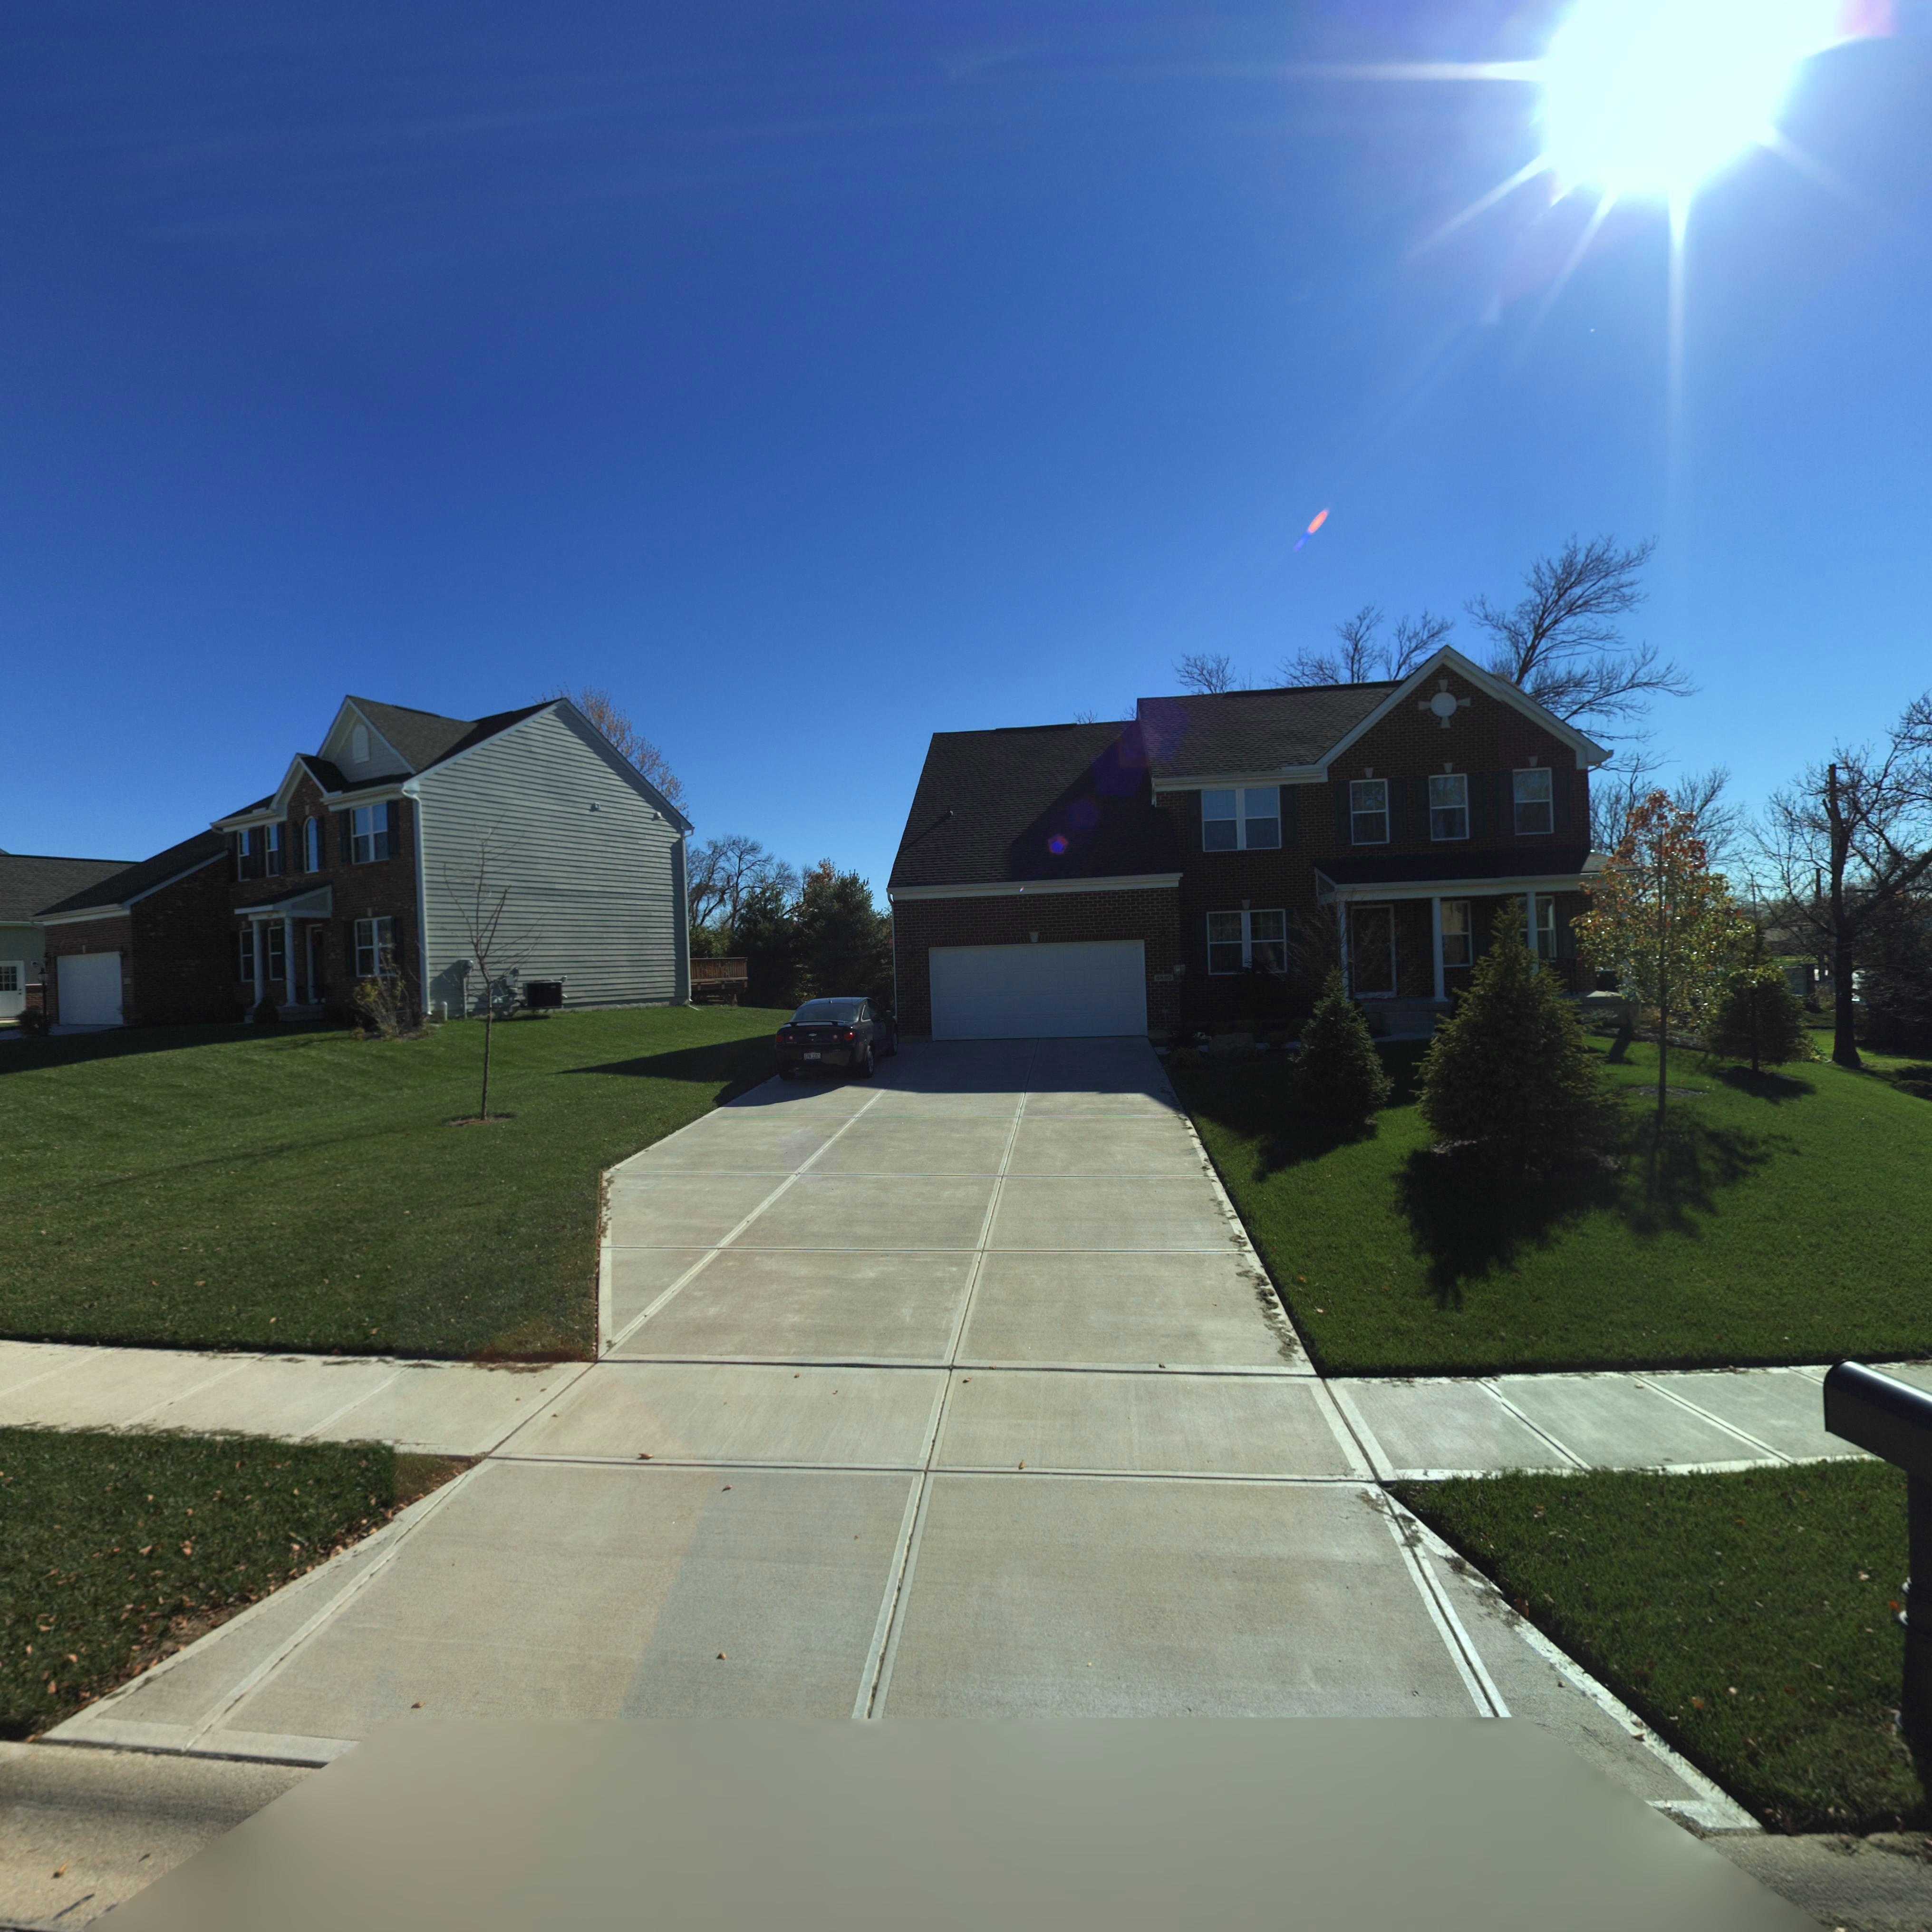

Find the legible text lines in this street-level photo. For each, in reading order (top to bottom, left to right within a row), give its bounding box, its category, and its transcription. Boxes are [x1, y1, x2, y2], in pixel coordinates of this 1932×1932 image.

[1155, 975, 1172, 981] StreetNumber: 6890